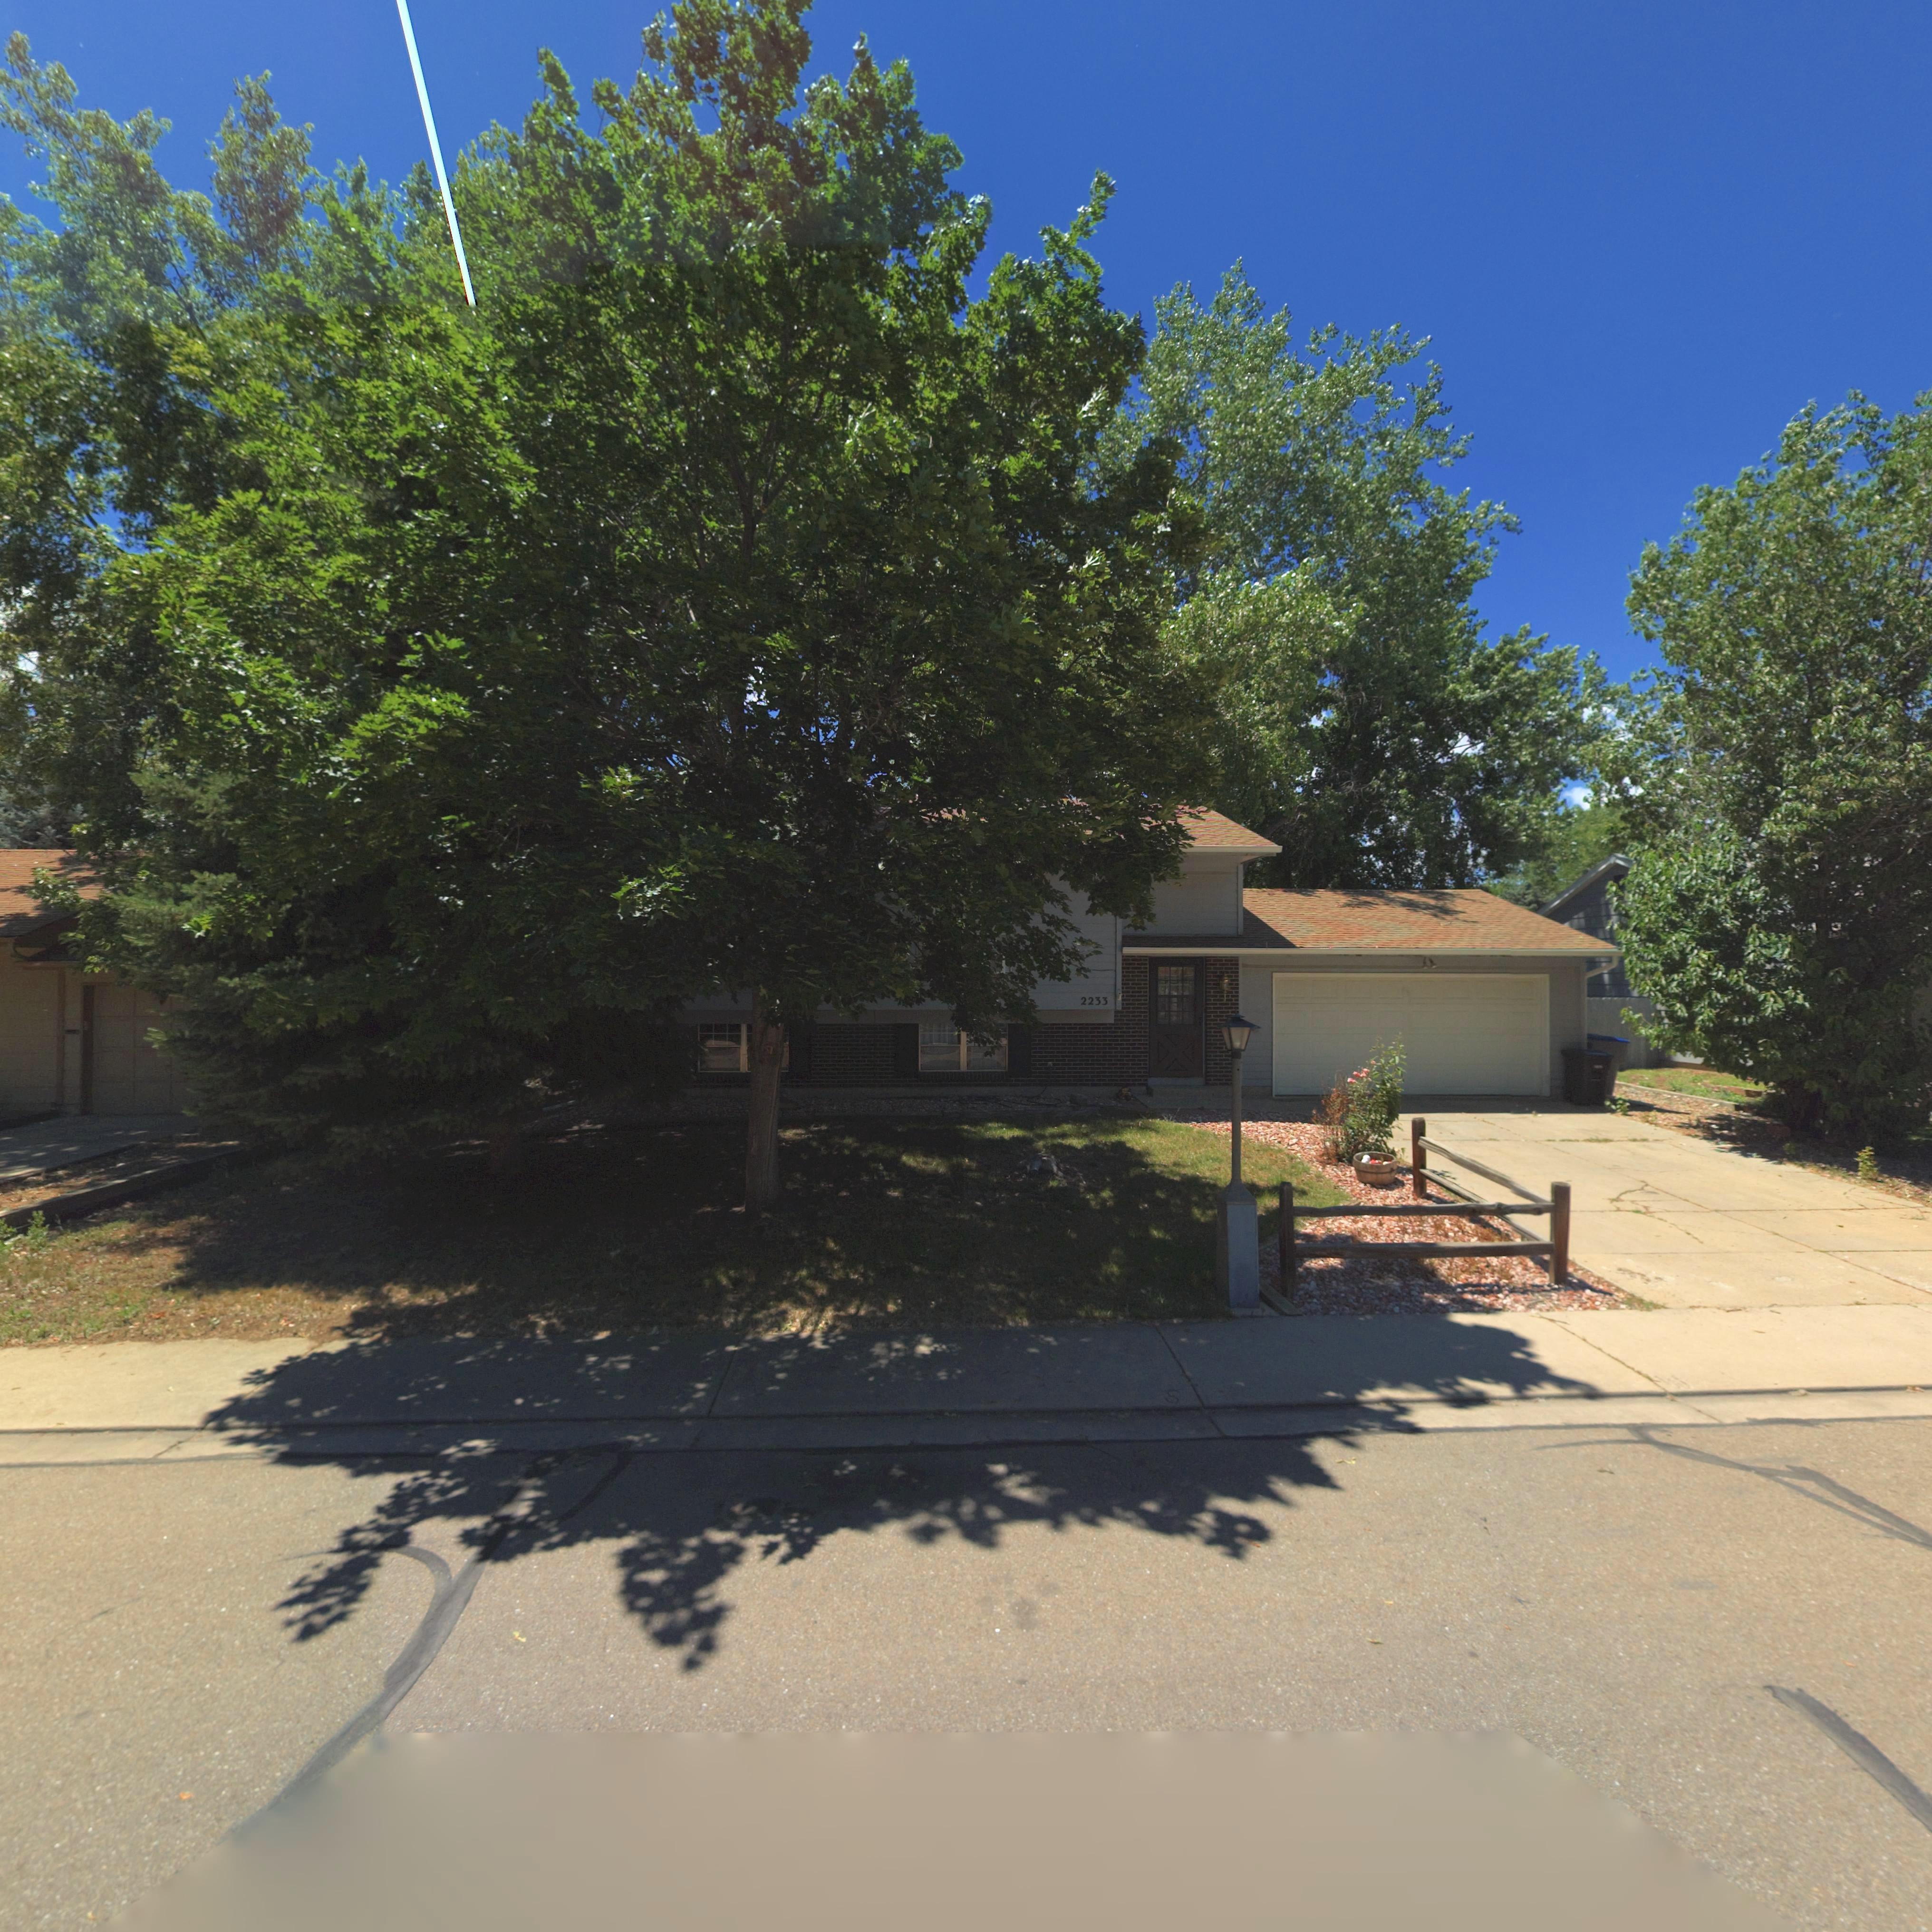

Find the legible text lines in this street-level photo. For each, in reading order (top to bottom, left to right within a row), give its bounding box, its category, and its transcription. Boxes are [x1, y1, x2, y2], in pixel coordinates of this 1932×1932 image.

[1080, 996, 1108, 1005] StreetNumber: 2233